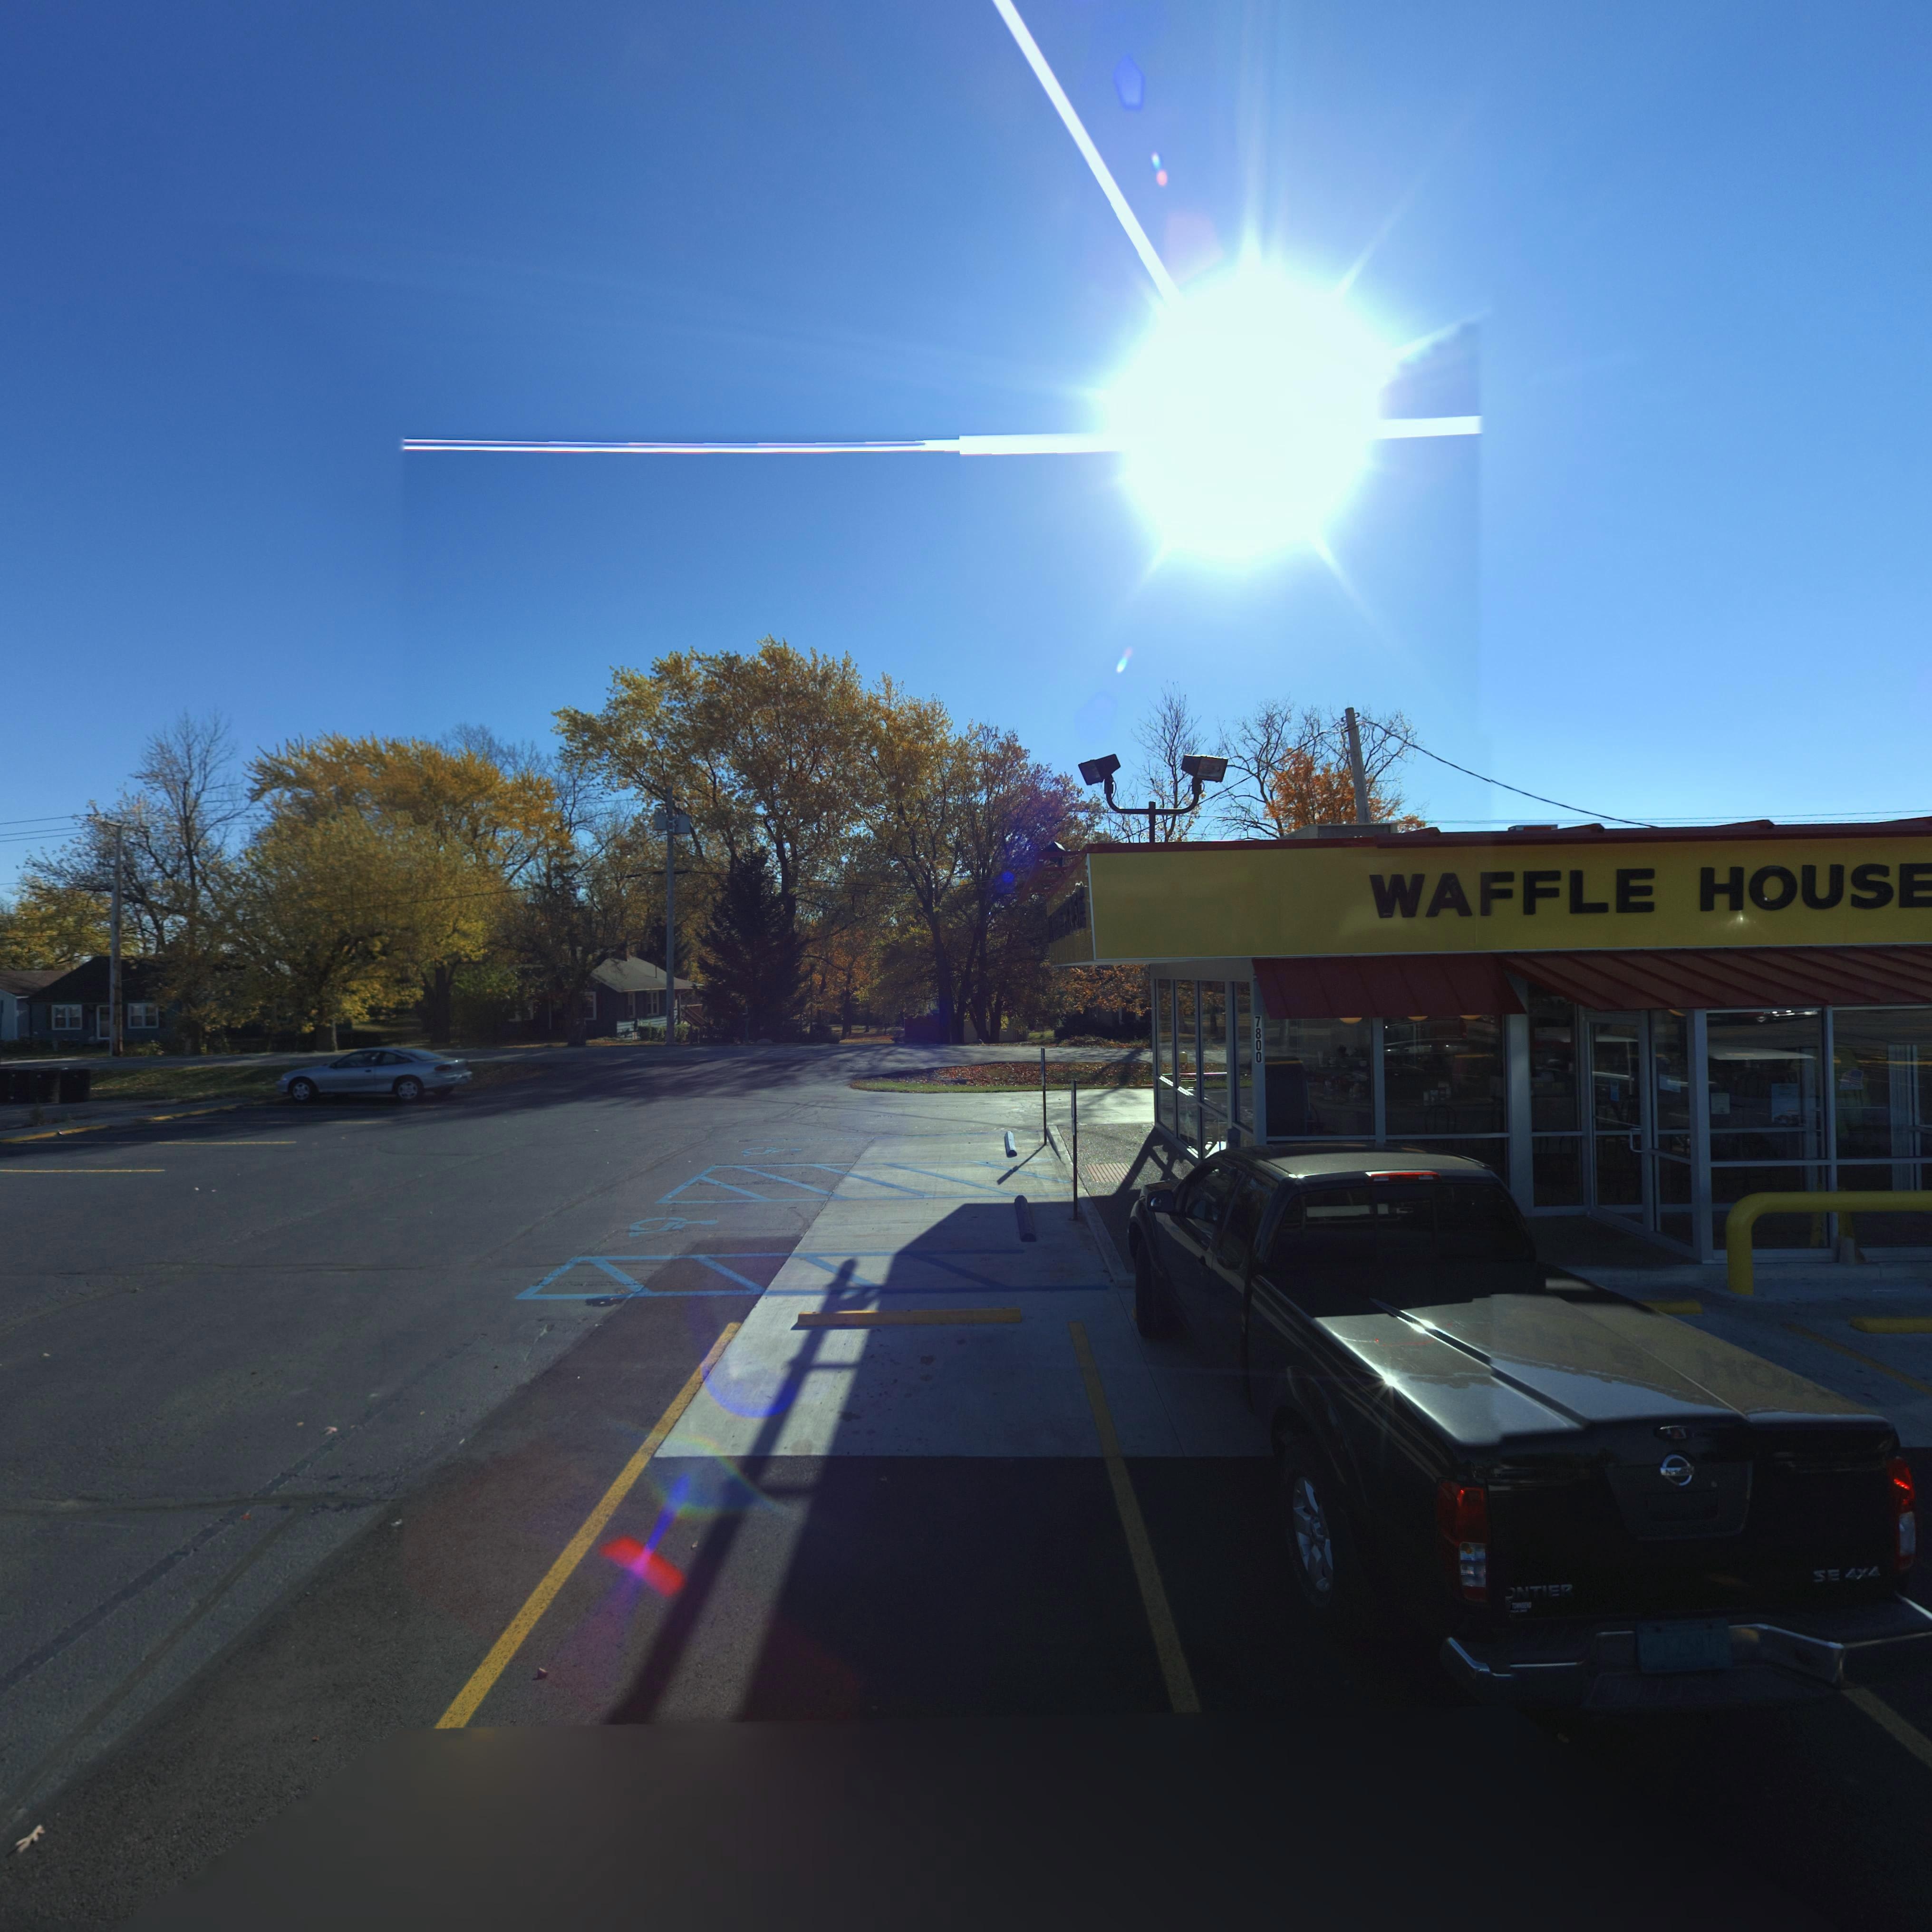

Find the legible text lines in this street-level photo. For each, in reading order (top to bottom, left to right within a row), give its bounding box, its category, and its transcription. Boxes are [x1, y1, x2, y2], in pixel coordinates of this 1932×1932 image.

[1254, 1015, 1262, 1063] StreetNumber: 7800